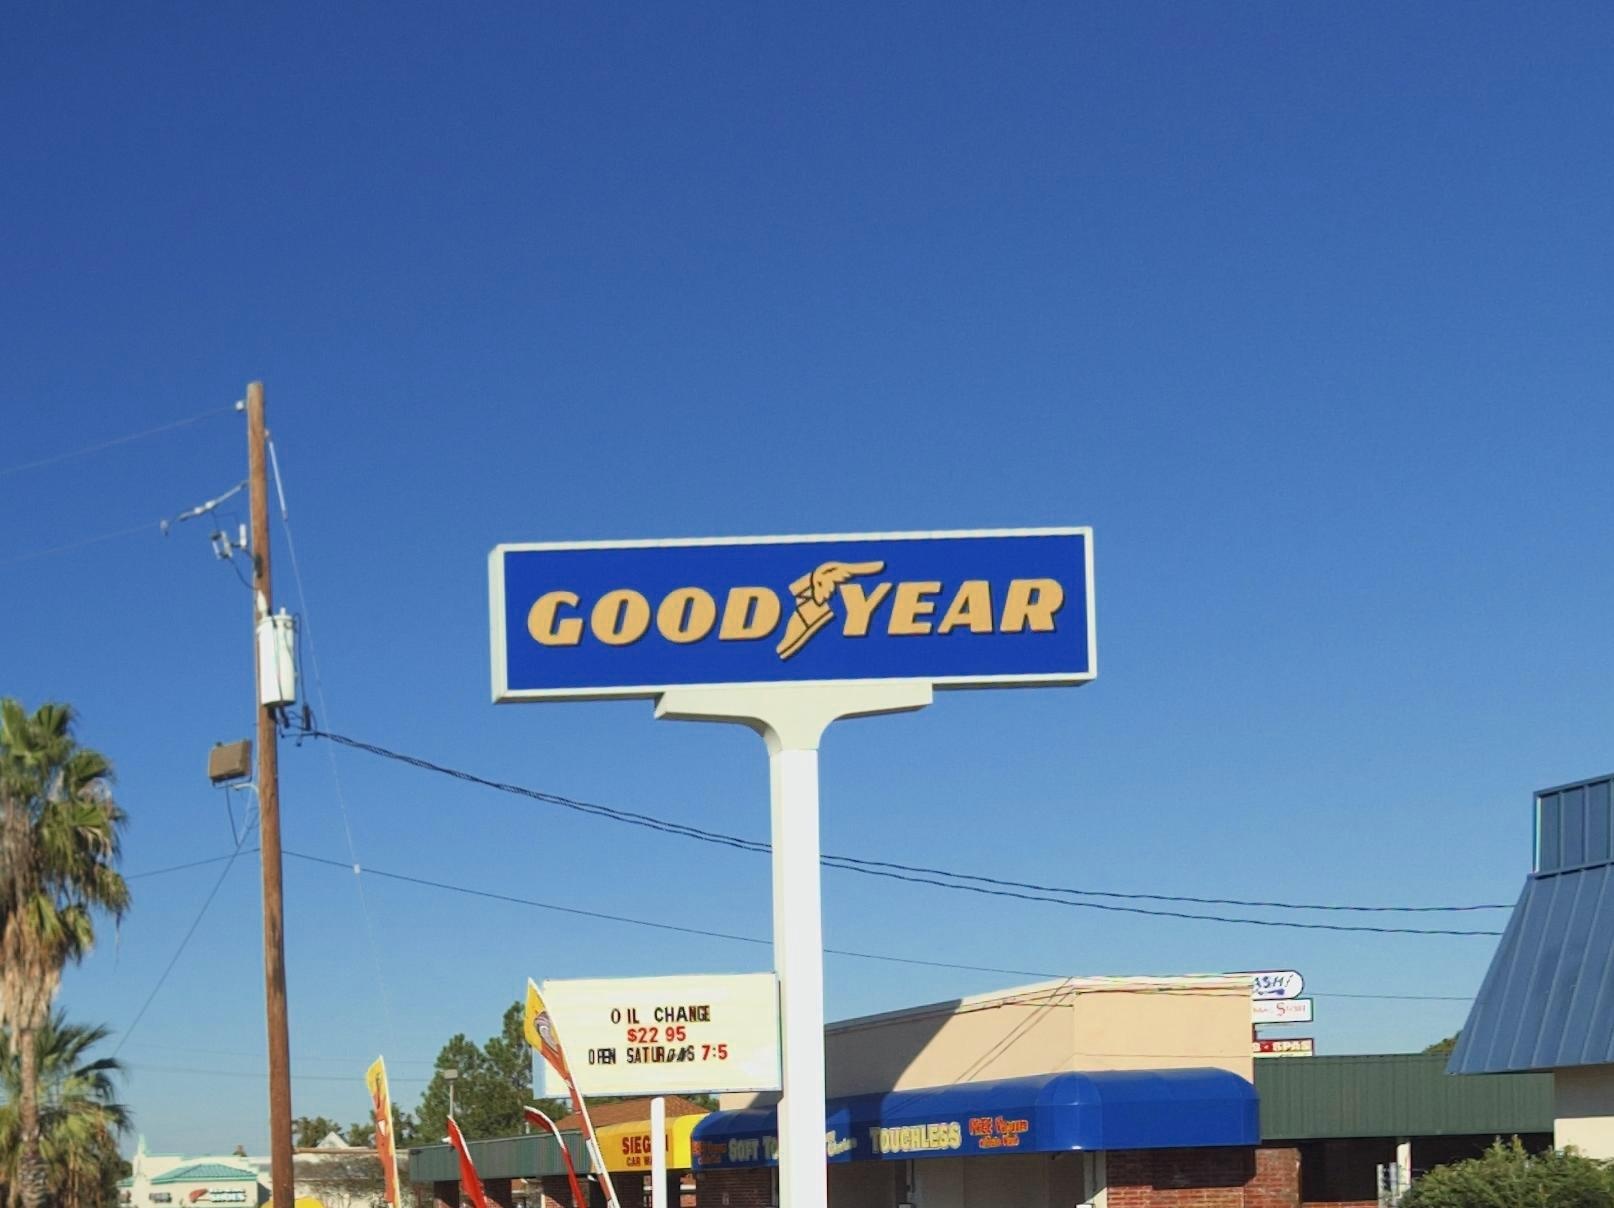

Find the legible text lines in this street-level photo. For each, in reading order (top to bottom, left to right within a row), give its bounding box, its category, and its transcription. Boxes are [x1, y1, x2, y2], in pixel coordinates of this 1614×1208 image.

[525, 576, 1066, 647] BusinessName: GOOD*YEAR
[1262, 973, 1294, 989] None: SHi
[608, 1004, 711, 1026] None: OIL CHANGE
[1274, 1000, 1286, 1018] None: S
[627, 1025, 687, 1044] None: 2295
[587, 1042, 729, 1065] None: OFFN SATURDAS 7:5
[1271, 1039, 1313, 1052] None: SPAS
[620, 1133, 650, 1154] BusinessName: SIEG
[726, 1134, 779, 1164] None: SOFT TO
[868, 1119, 962, 1155] None: TOUCHLESS
[625, 1154, 652, 1168] BusinessName: CAR W